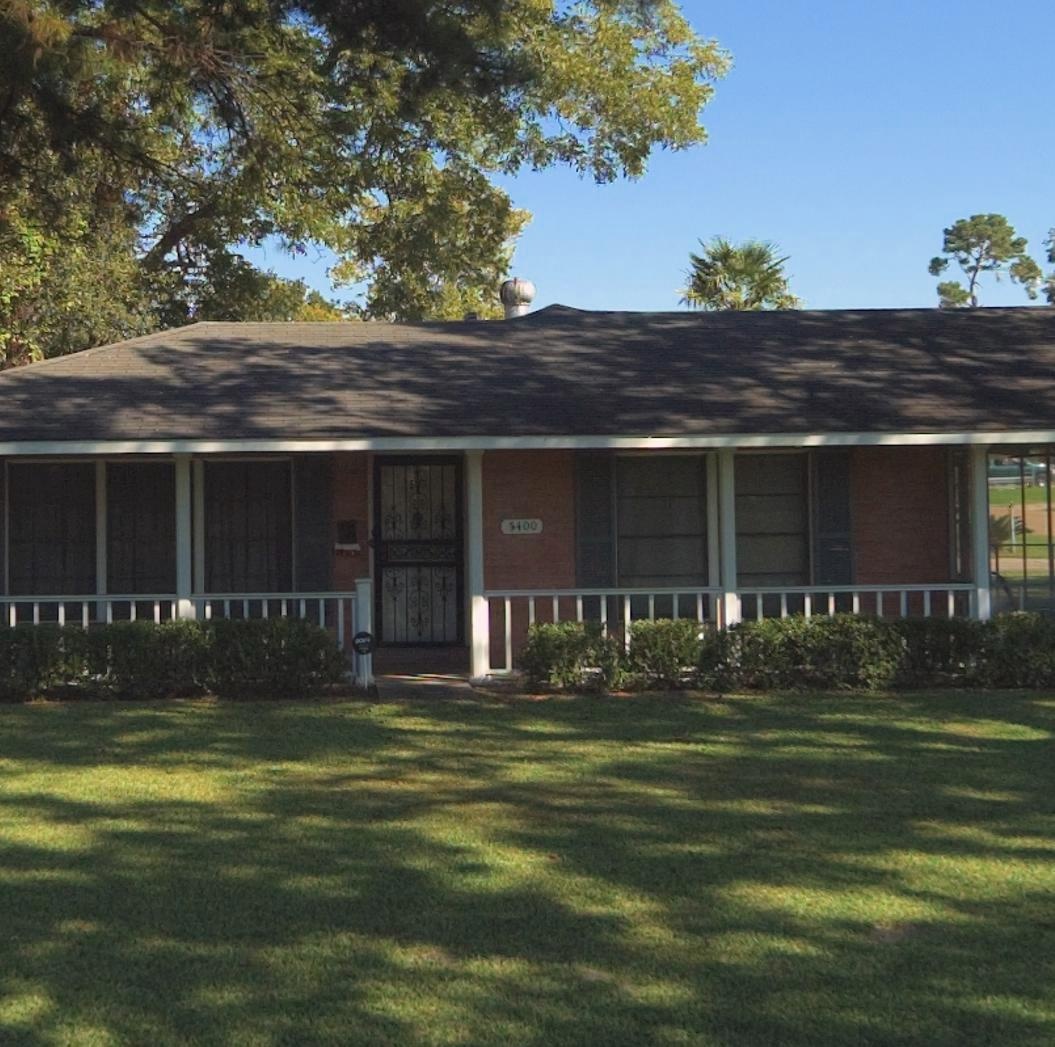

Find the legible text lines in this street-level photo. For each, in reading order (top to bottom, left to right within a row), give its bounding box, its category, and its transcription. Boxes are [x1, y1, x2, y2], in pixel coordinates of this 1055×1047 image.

[508, 520, 538, 532] StreetNumber: 5400